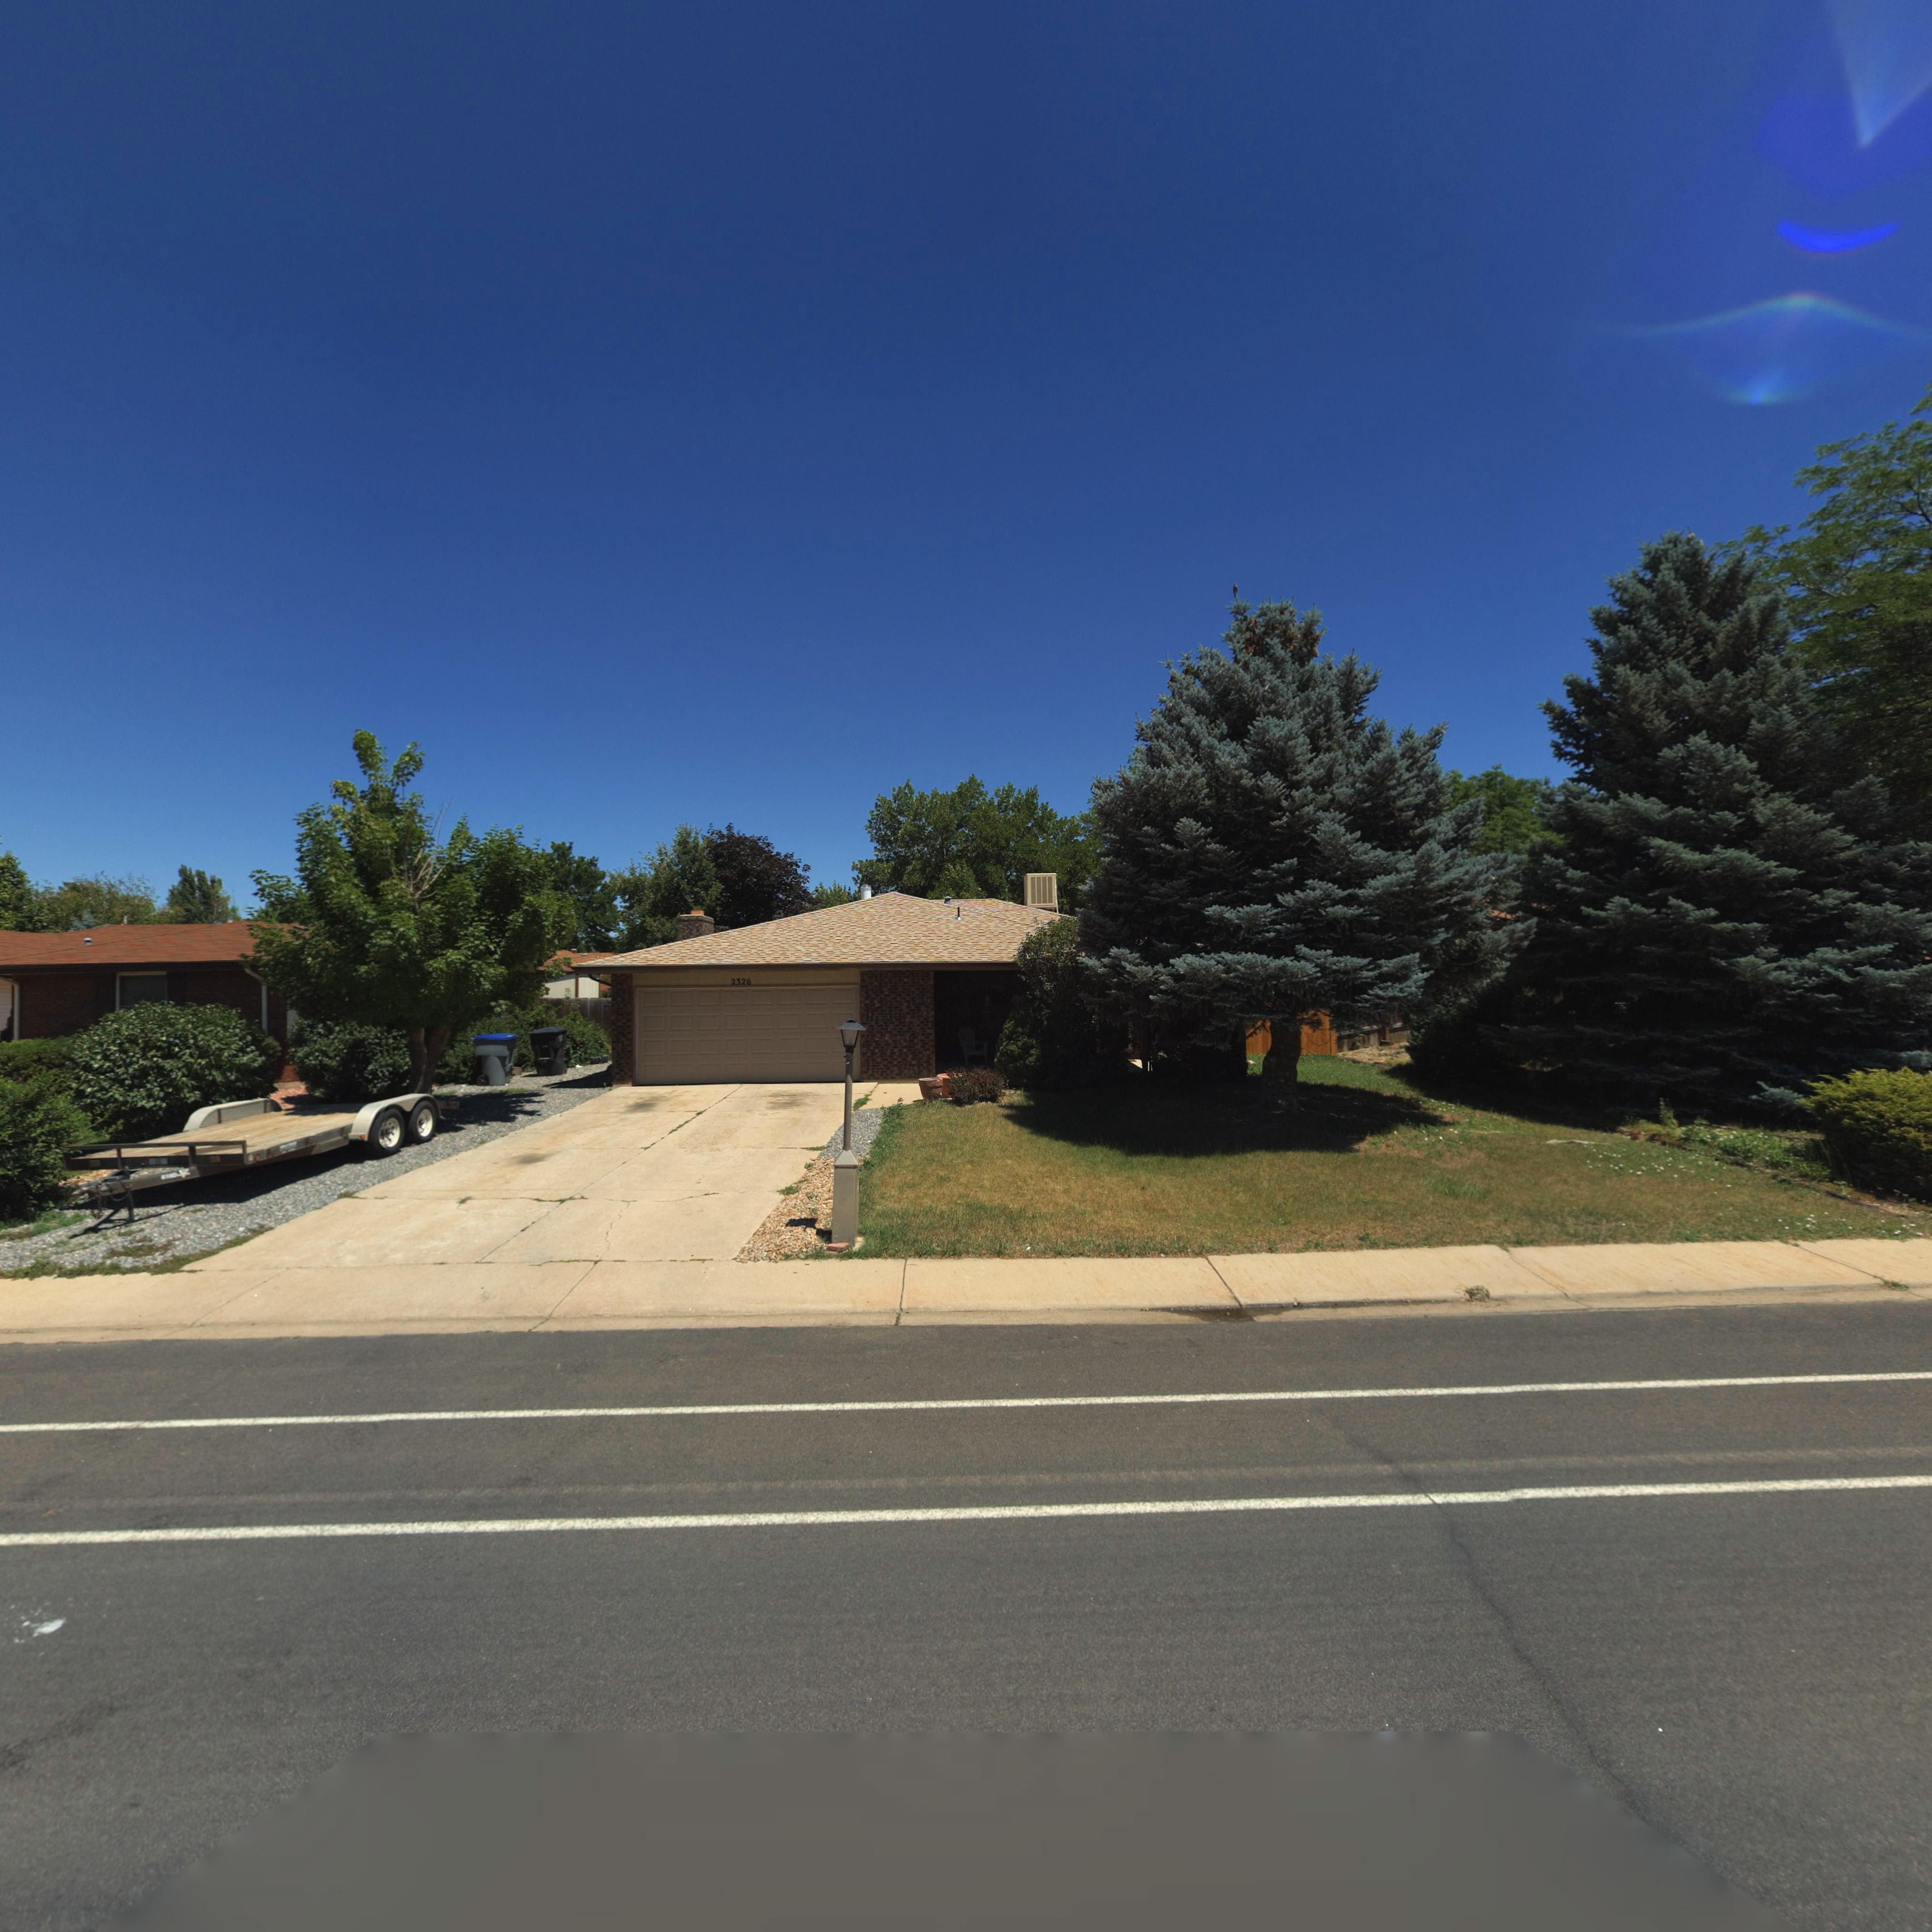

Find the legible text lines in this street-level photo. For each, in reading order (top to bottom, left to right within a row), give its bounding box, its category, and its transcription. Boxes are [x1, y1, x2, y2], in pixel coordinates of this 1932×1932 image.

[731, 978, 751, 985] StreetNumber: 2326